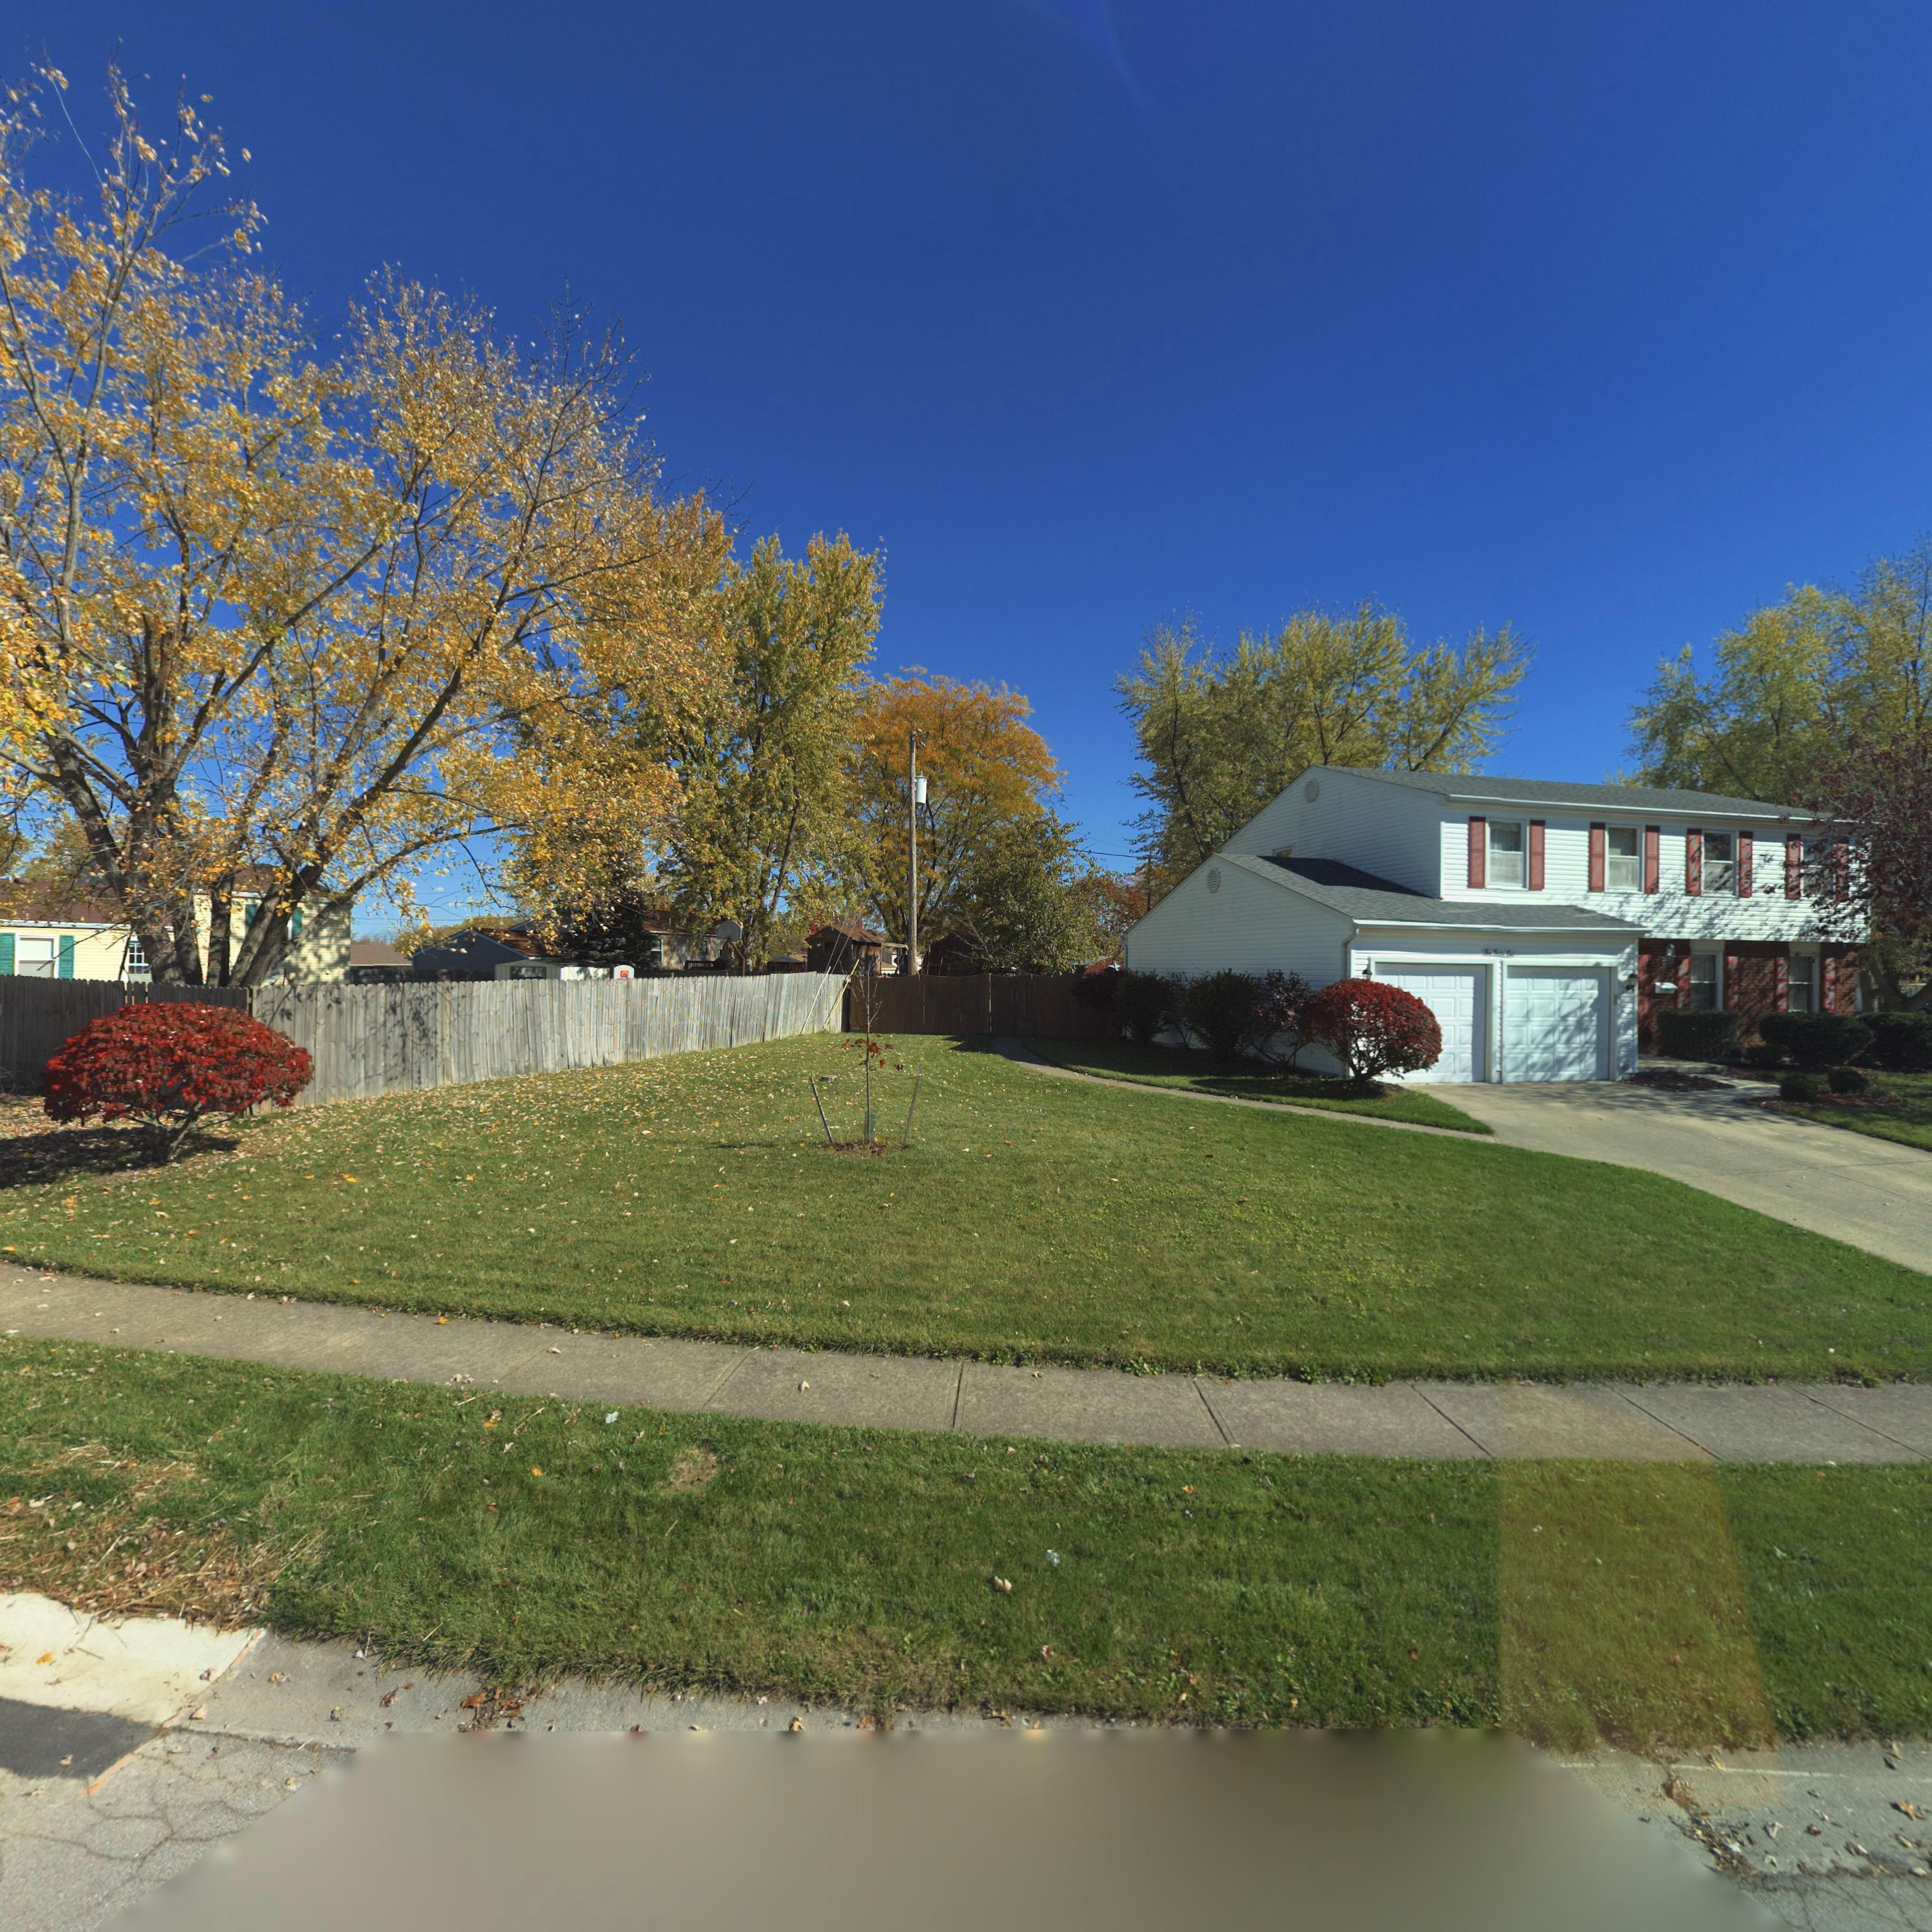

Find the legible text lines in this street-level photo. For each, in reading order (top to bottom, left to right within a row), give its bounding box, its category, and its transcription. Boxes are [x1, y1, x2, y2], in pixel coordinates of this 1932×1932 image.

[1484, 949, 1489, 955] StreetNumber: T